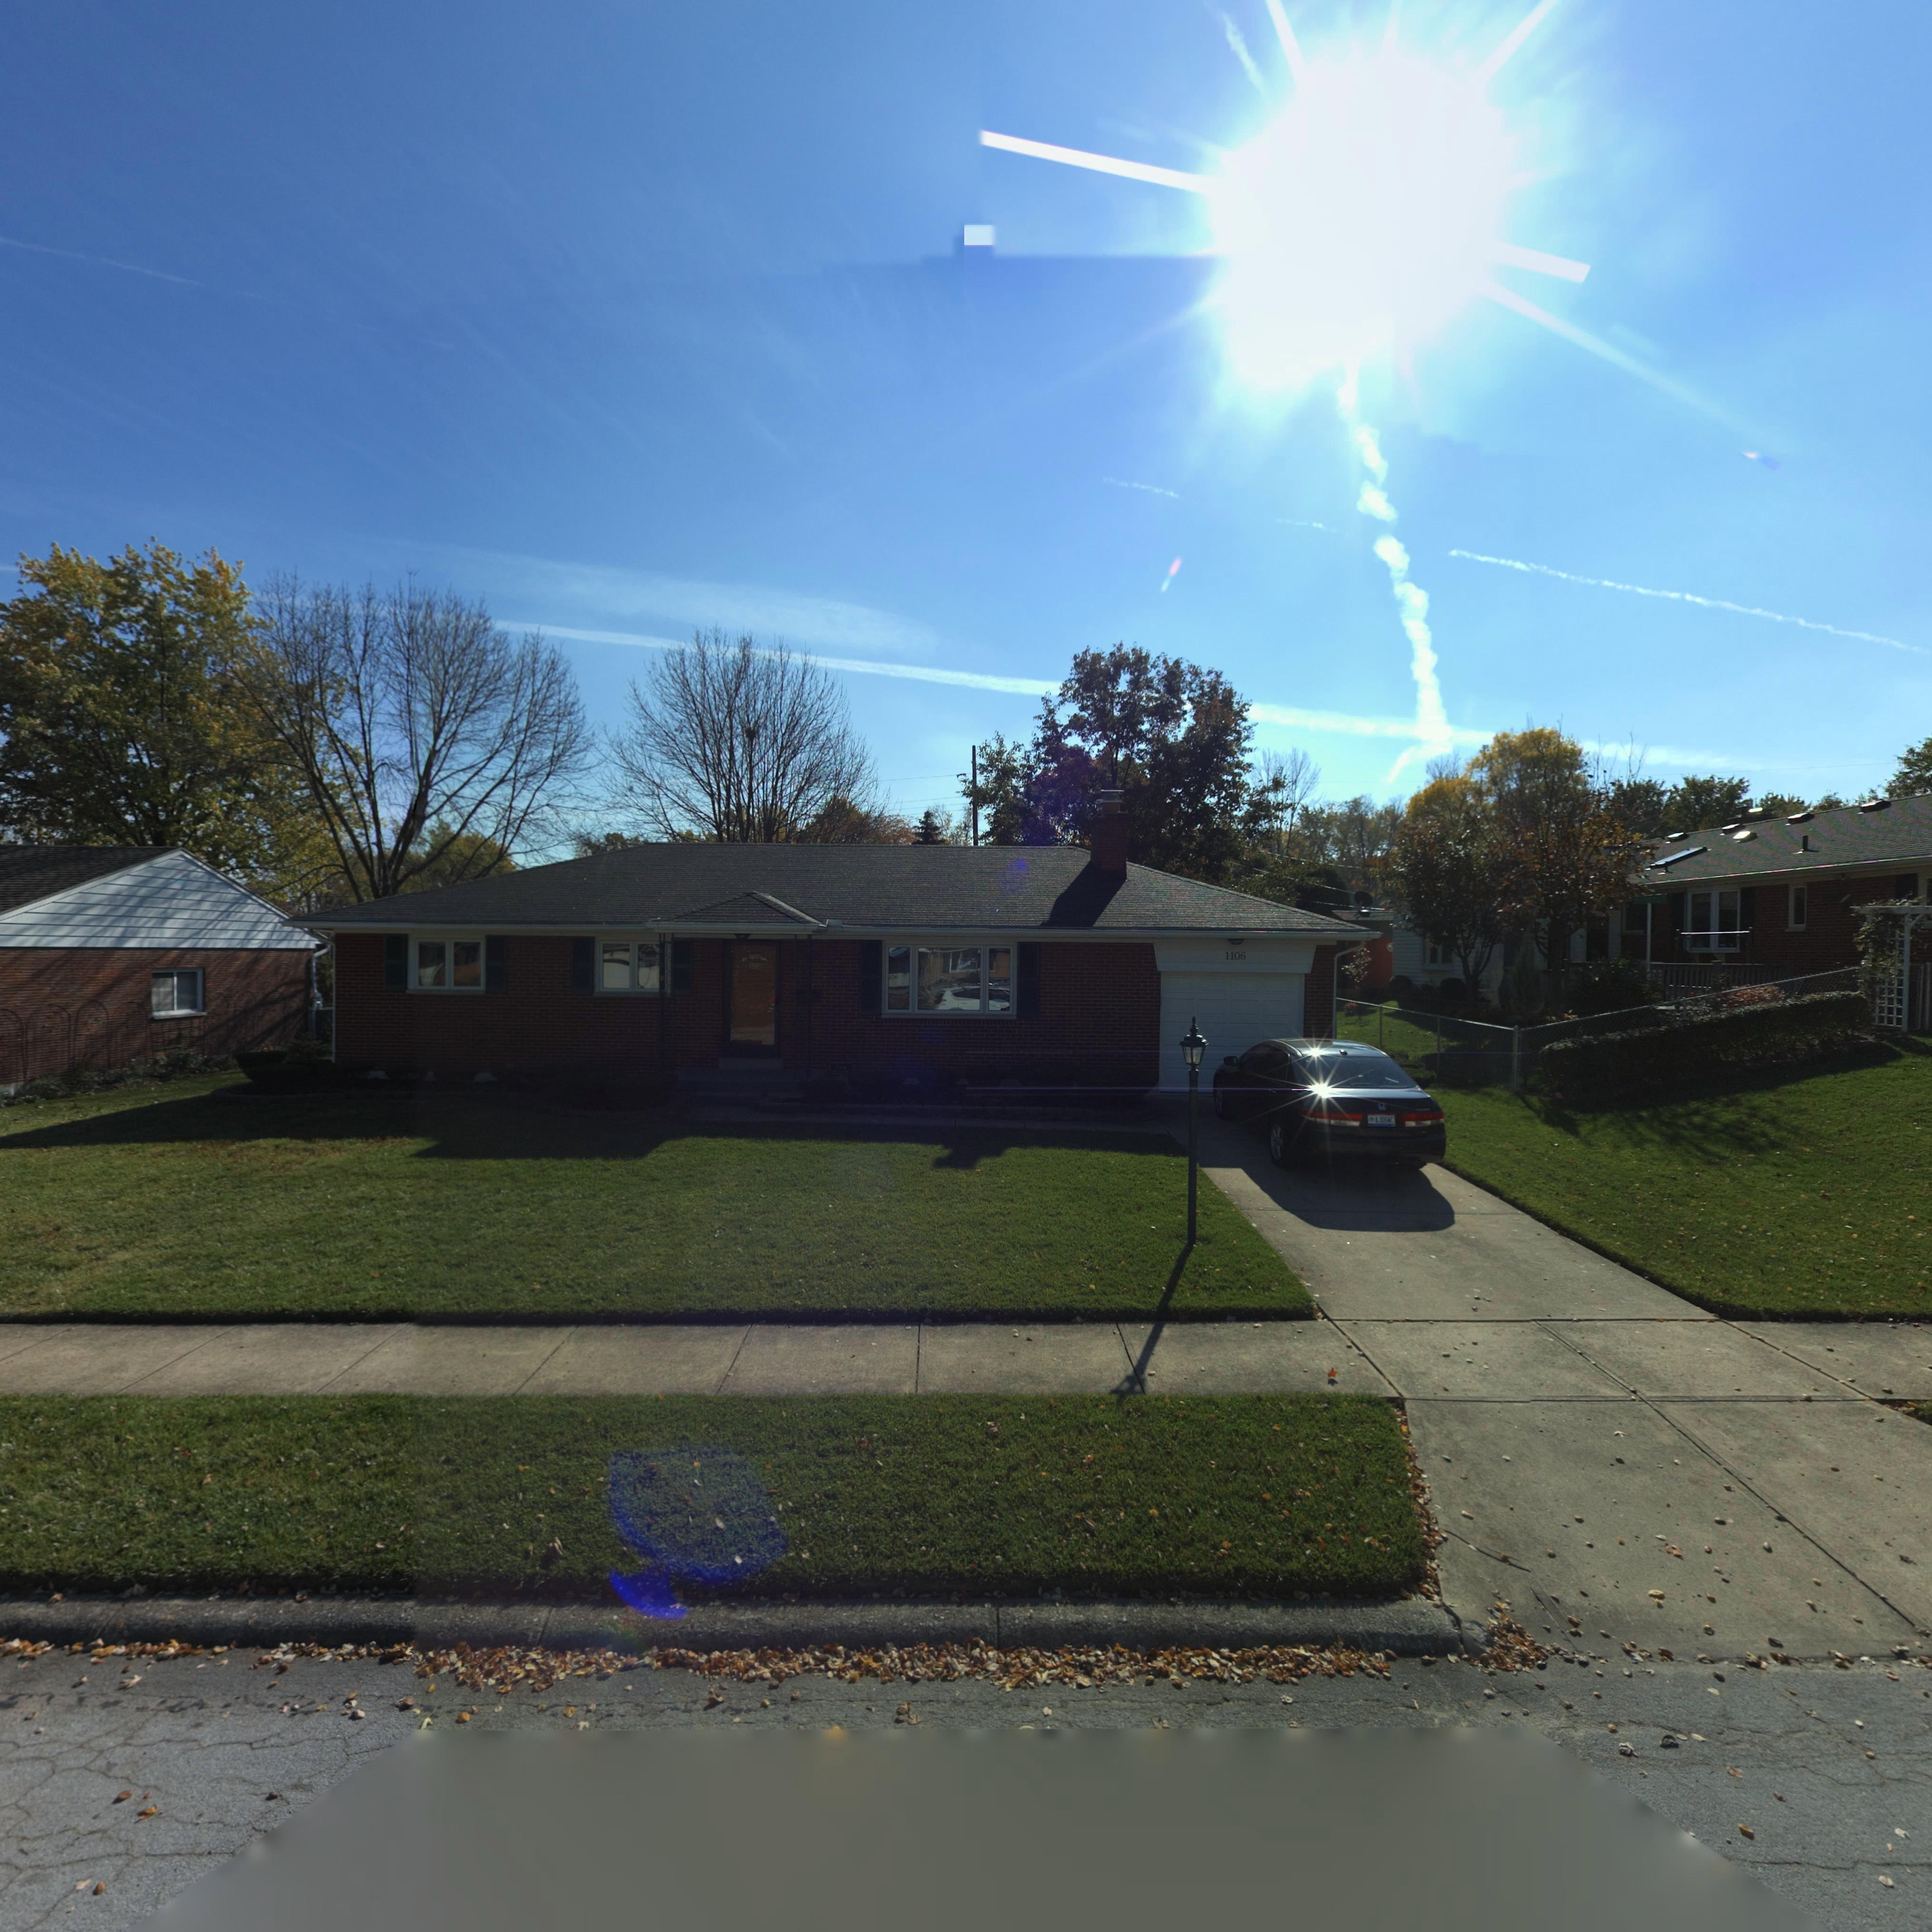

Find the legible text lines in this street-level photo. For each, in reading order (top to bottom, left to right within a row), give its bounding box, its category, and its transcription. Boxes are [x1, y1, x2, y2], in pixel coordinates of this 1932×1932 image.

[1225, 951, 1246, 960] StreetNumber: 1106
[1415, 1108, 1430, 1111] None: ACCORD
[1375, 1116, 1394, 1123] None: AJ062WC